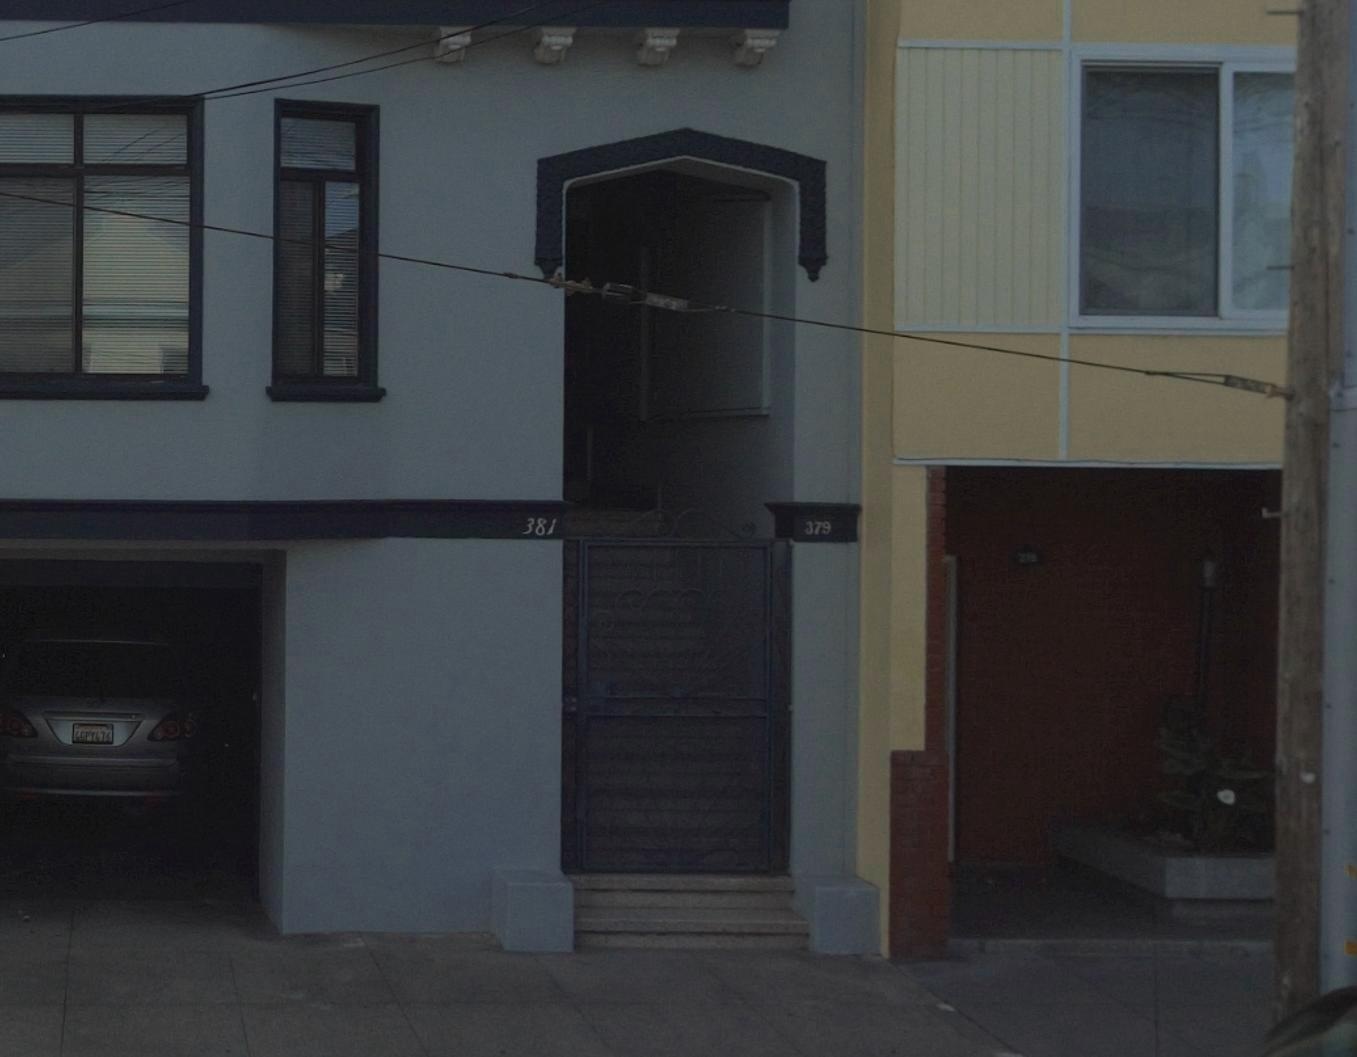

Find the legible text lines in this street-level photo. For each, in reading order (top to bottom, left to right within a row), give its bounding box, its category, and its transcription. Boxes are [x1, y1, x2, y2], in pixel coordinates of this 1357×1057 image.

[520, 516, 559, 537] StreetNumber: 381
[804, 520, 833, 536] StreetNumber: 379
[74, 728, 111, 743] None: 6GPY476